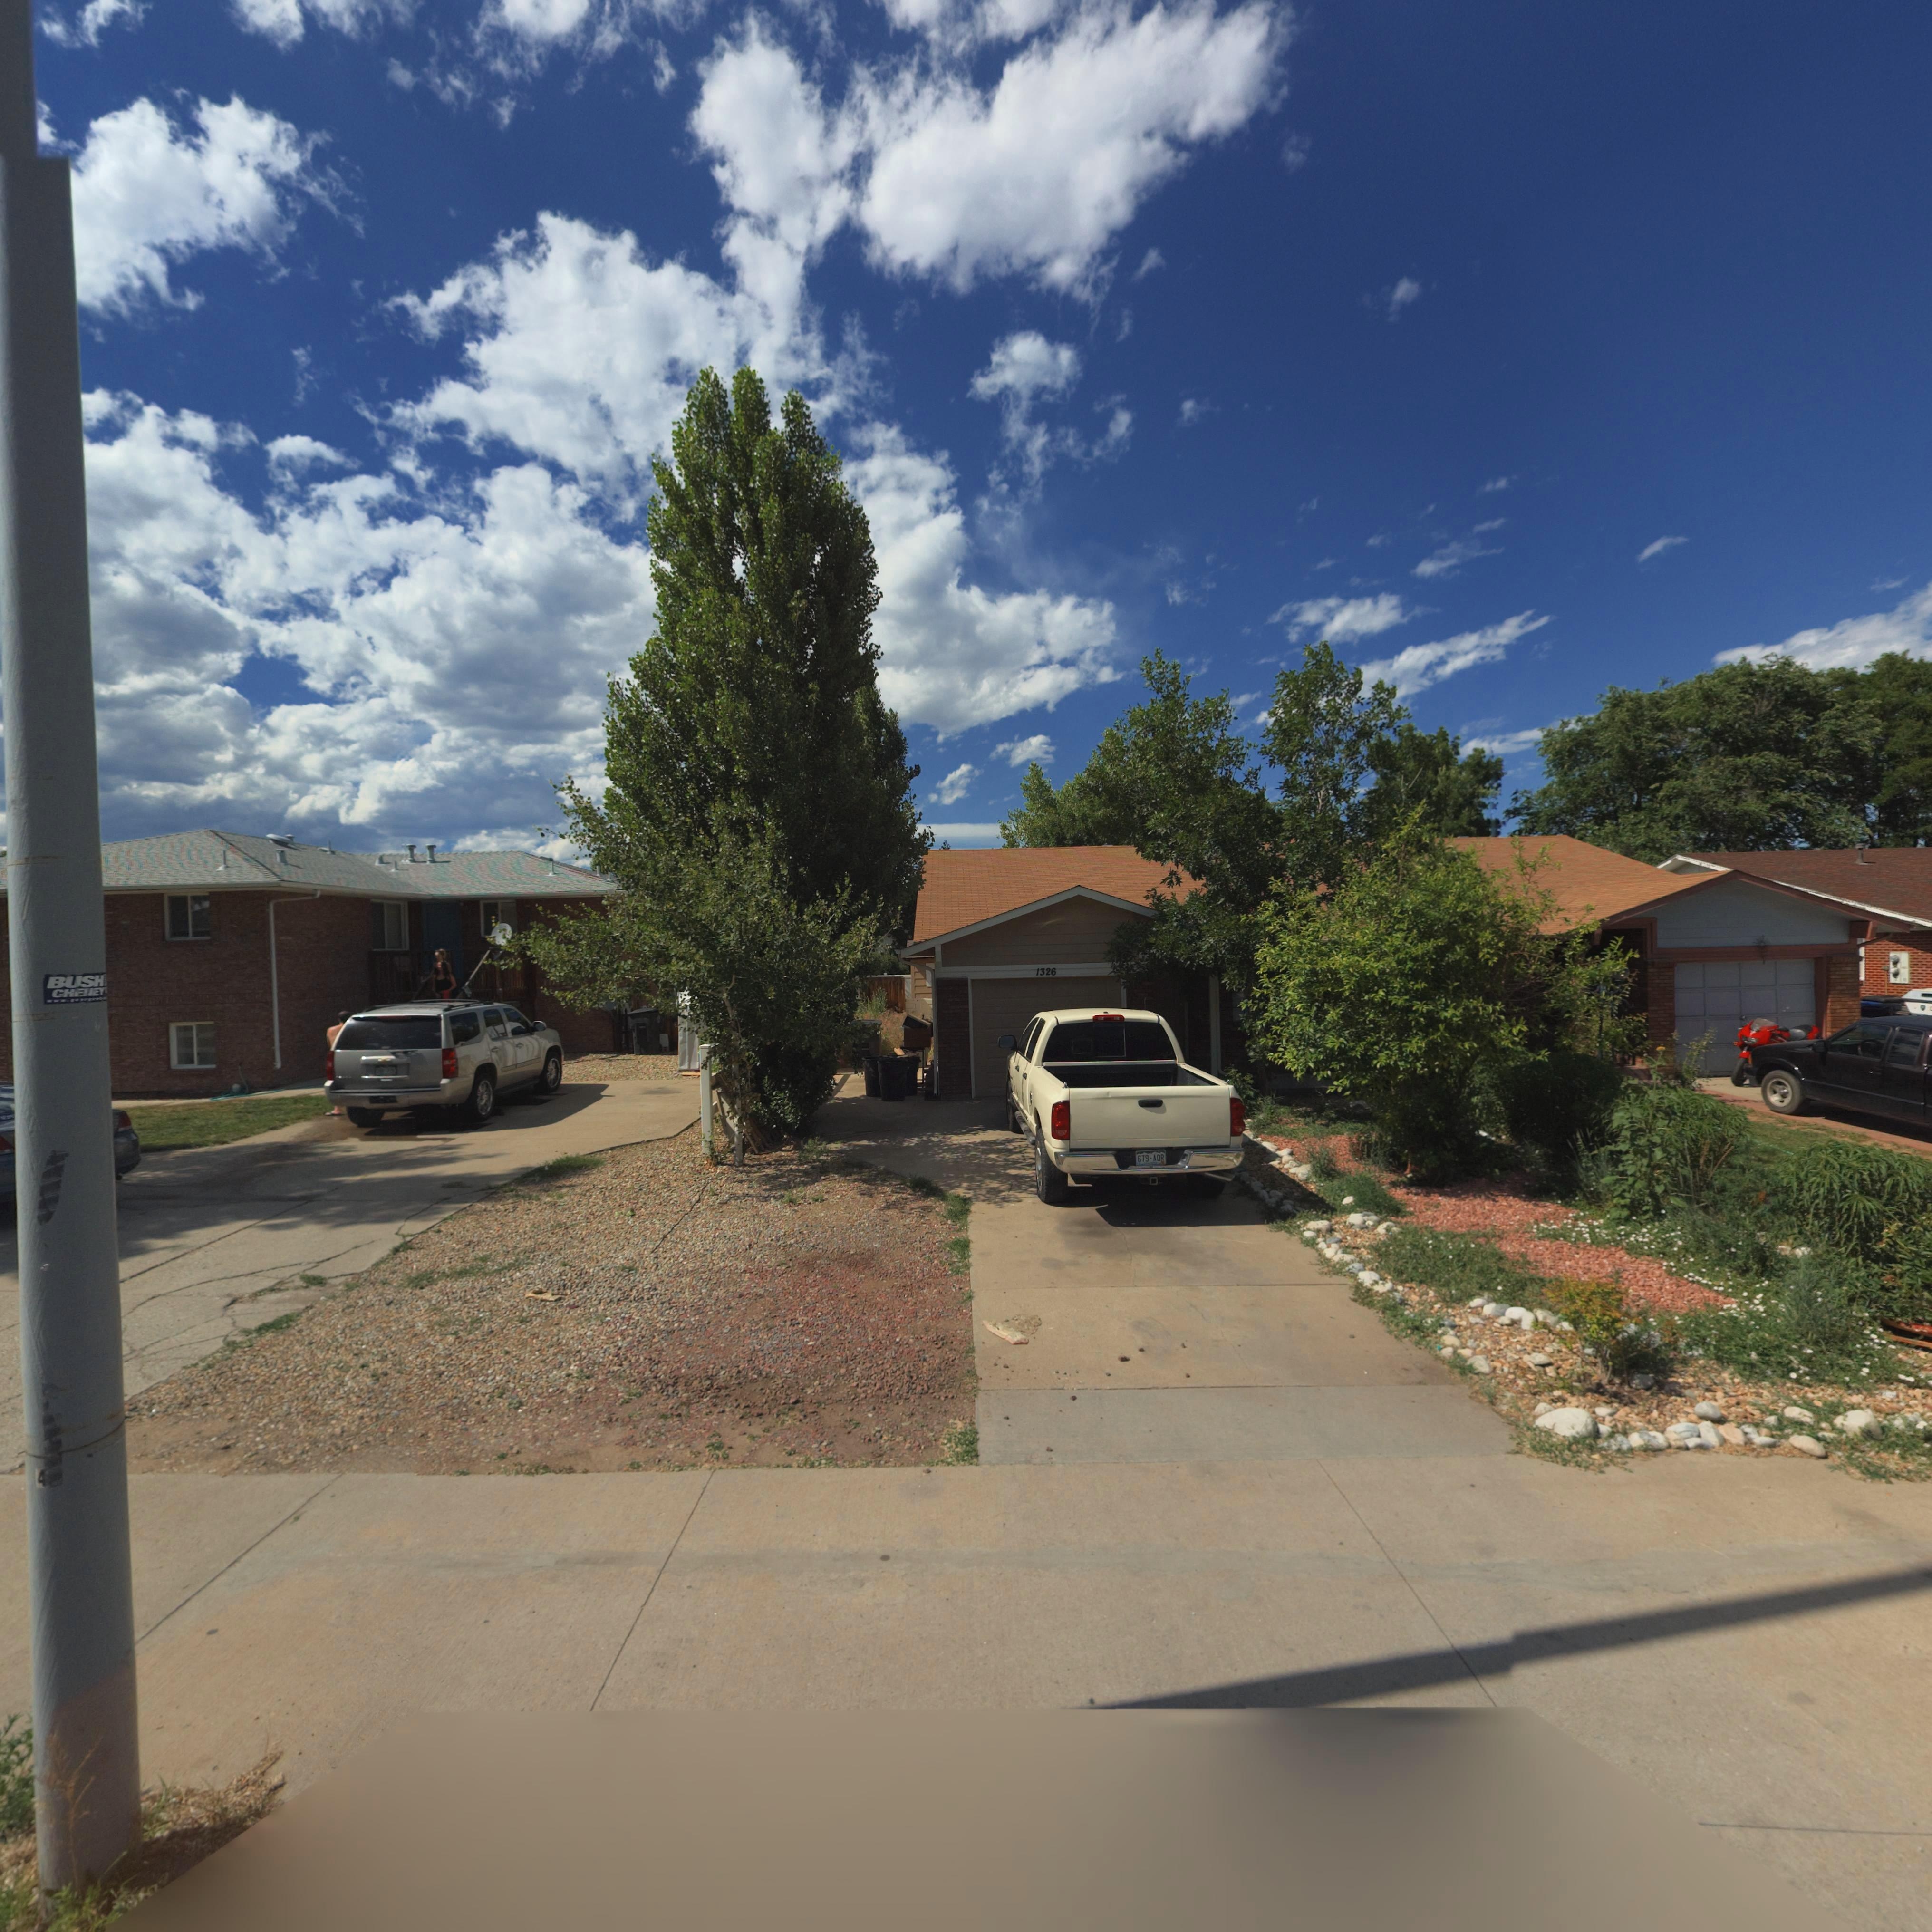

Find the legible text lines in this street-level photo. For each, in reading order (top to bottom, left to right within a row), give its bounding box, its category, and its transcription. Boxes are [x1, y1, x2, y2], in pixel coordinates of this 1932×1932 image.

[1035, 967, 1056, 976] StreetNumber: 1326